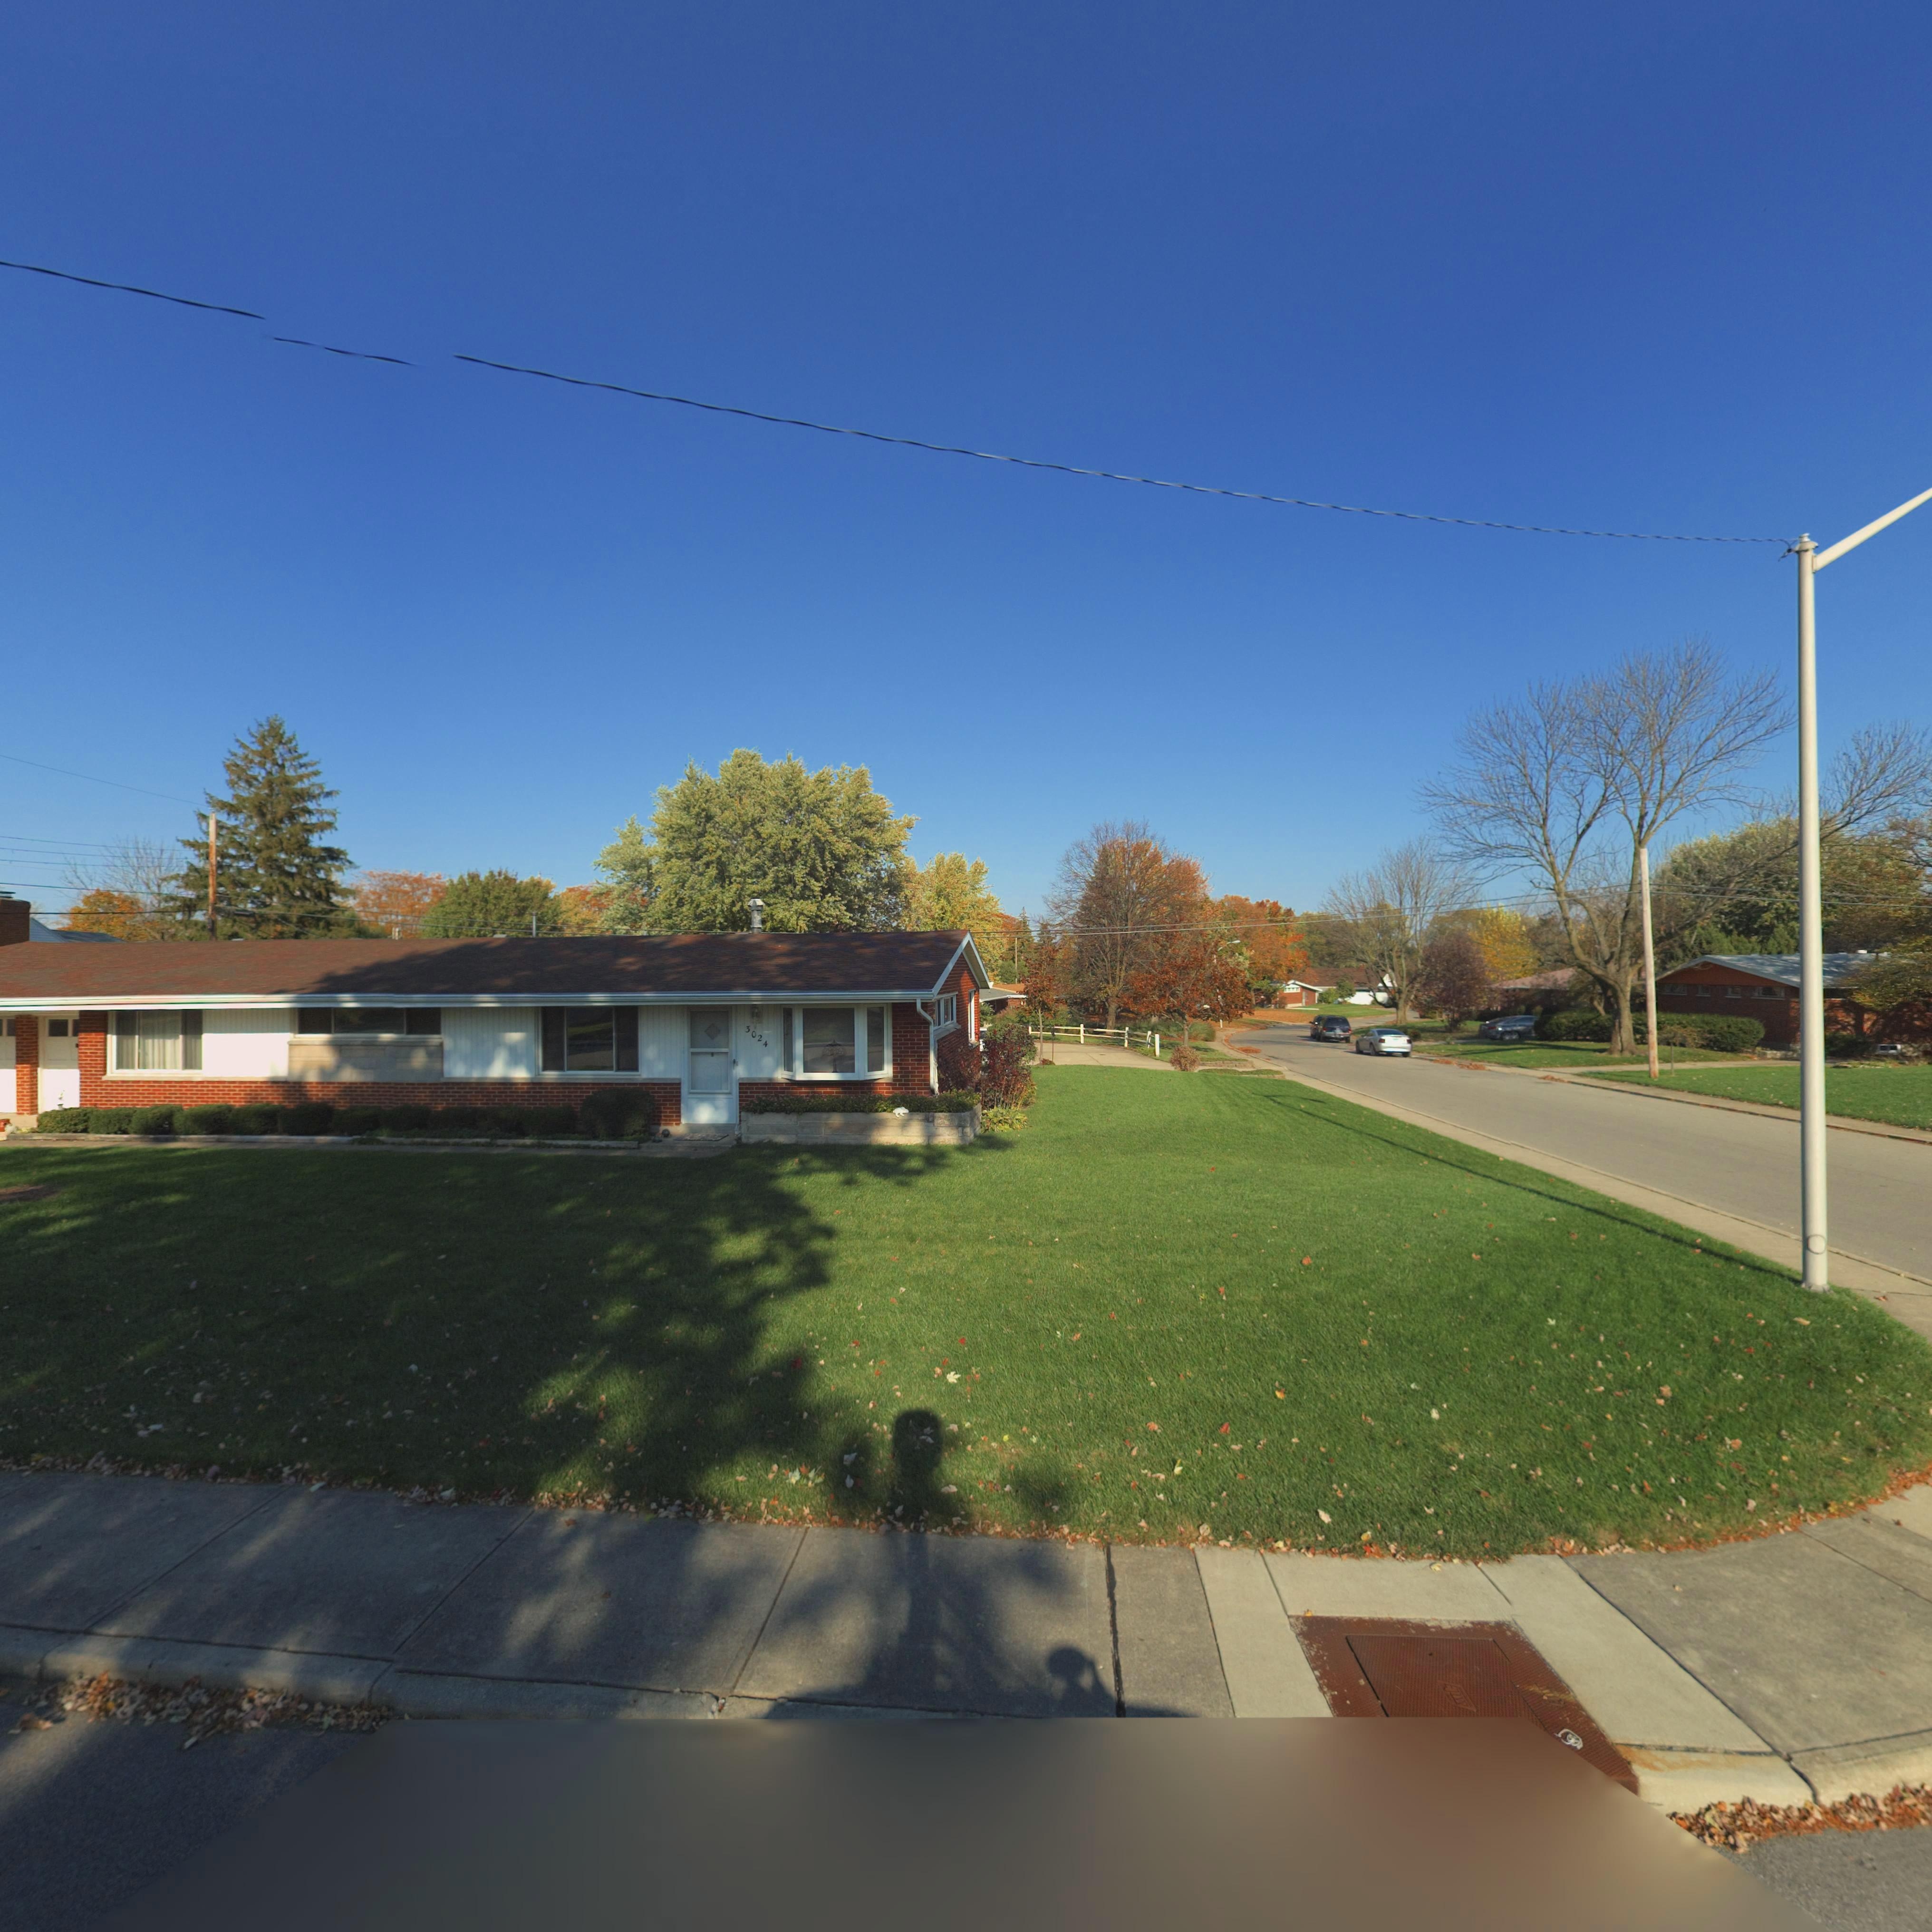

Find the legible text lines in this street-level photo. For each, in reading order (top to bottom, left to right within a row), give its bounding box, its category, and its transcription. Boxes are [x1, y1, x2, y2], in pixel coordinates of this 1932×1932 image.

[744, 1024, 769, 1050] StreetNumber: 3024